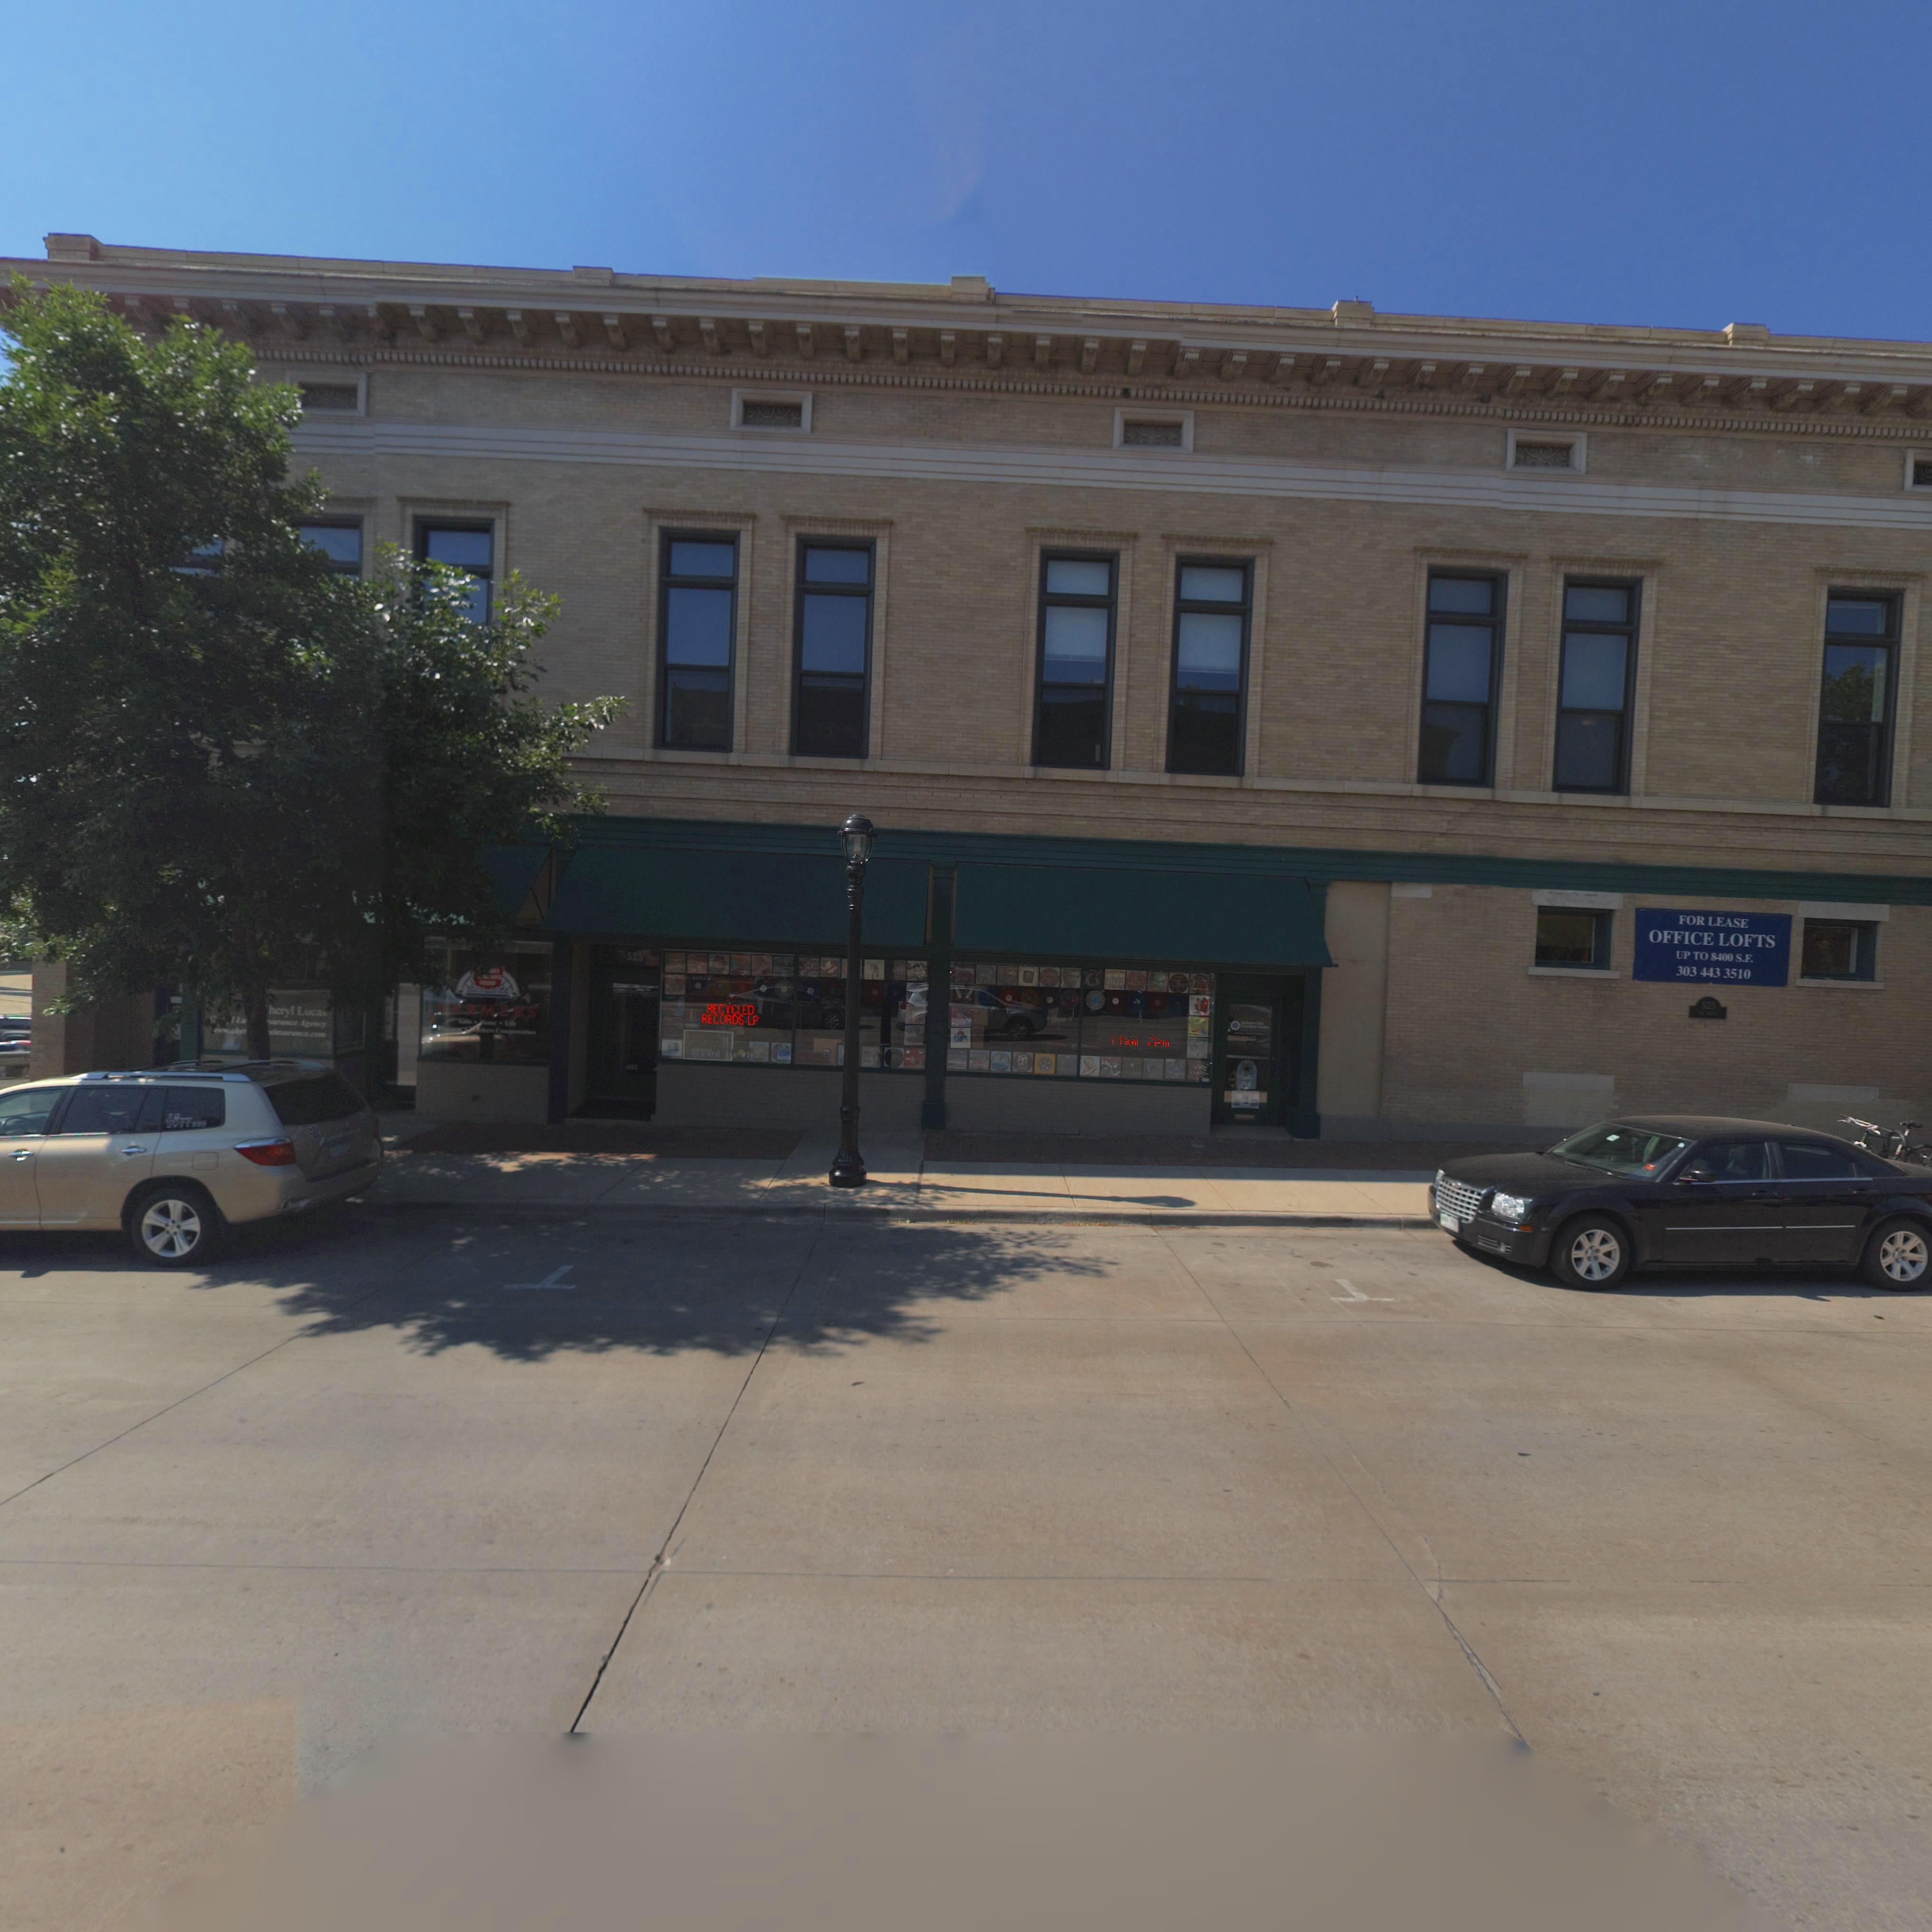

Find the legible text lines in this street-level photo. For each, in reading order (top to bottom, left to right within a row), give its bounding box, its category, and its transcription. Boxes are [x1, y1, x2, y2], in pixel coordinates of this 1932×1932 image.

[624, 951, 643, 962] StreetNumber: 525
[475, 966, 501, 973] BusinessName: ******S
[476, 973, 502, 981] BusinessName: ******NCE
[479, 980, 497, 986] BusinessName: GROUP
[438, 1000, 539, 1019] BusinessName: FARMERS
[706, 1002, 755, 1015] BusinessName: RECYCLED
[1700, 999, 1718, 1011] StreetNumber: 525
[701, 1013, 760, 1026] BusinessName: RECORDS LP
[690, 1048, 704, 1056] StreetNumber: 525
[706, 1049, 738, 1058] StreetName: 3rd Ave
[740, 1051, 758, 1059] StreetNumber: *103
[628, 1063, 638, 1070] StreetNumber: 1*3